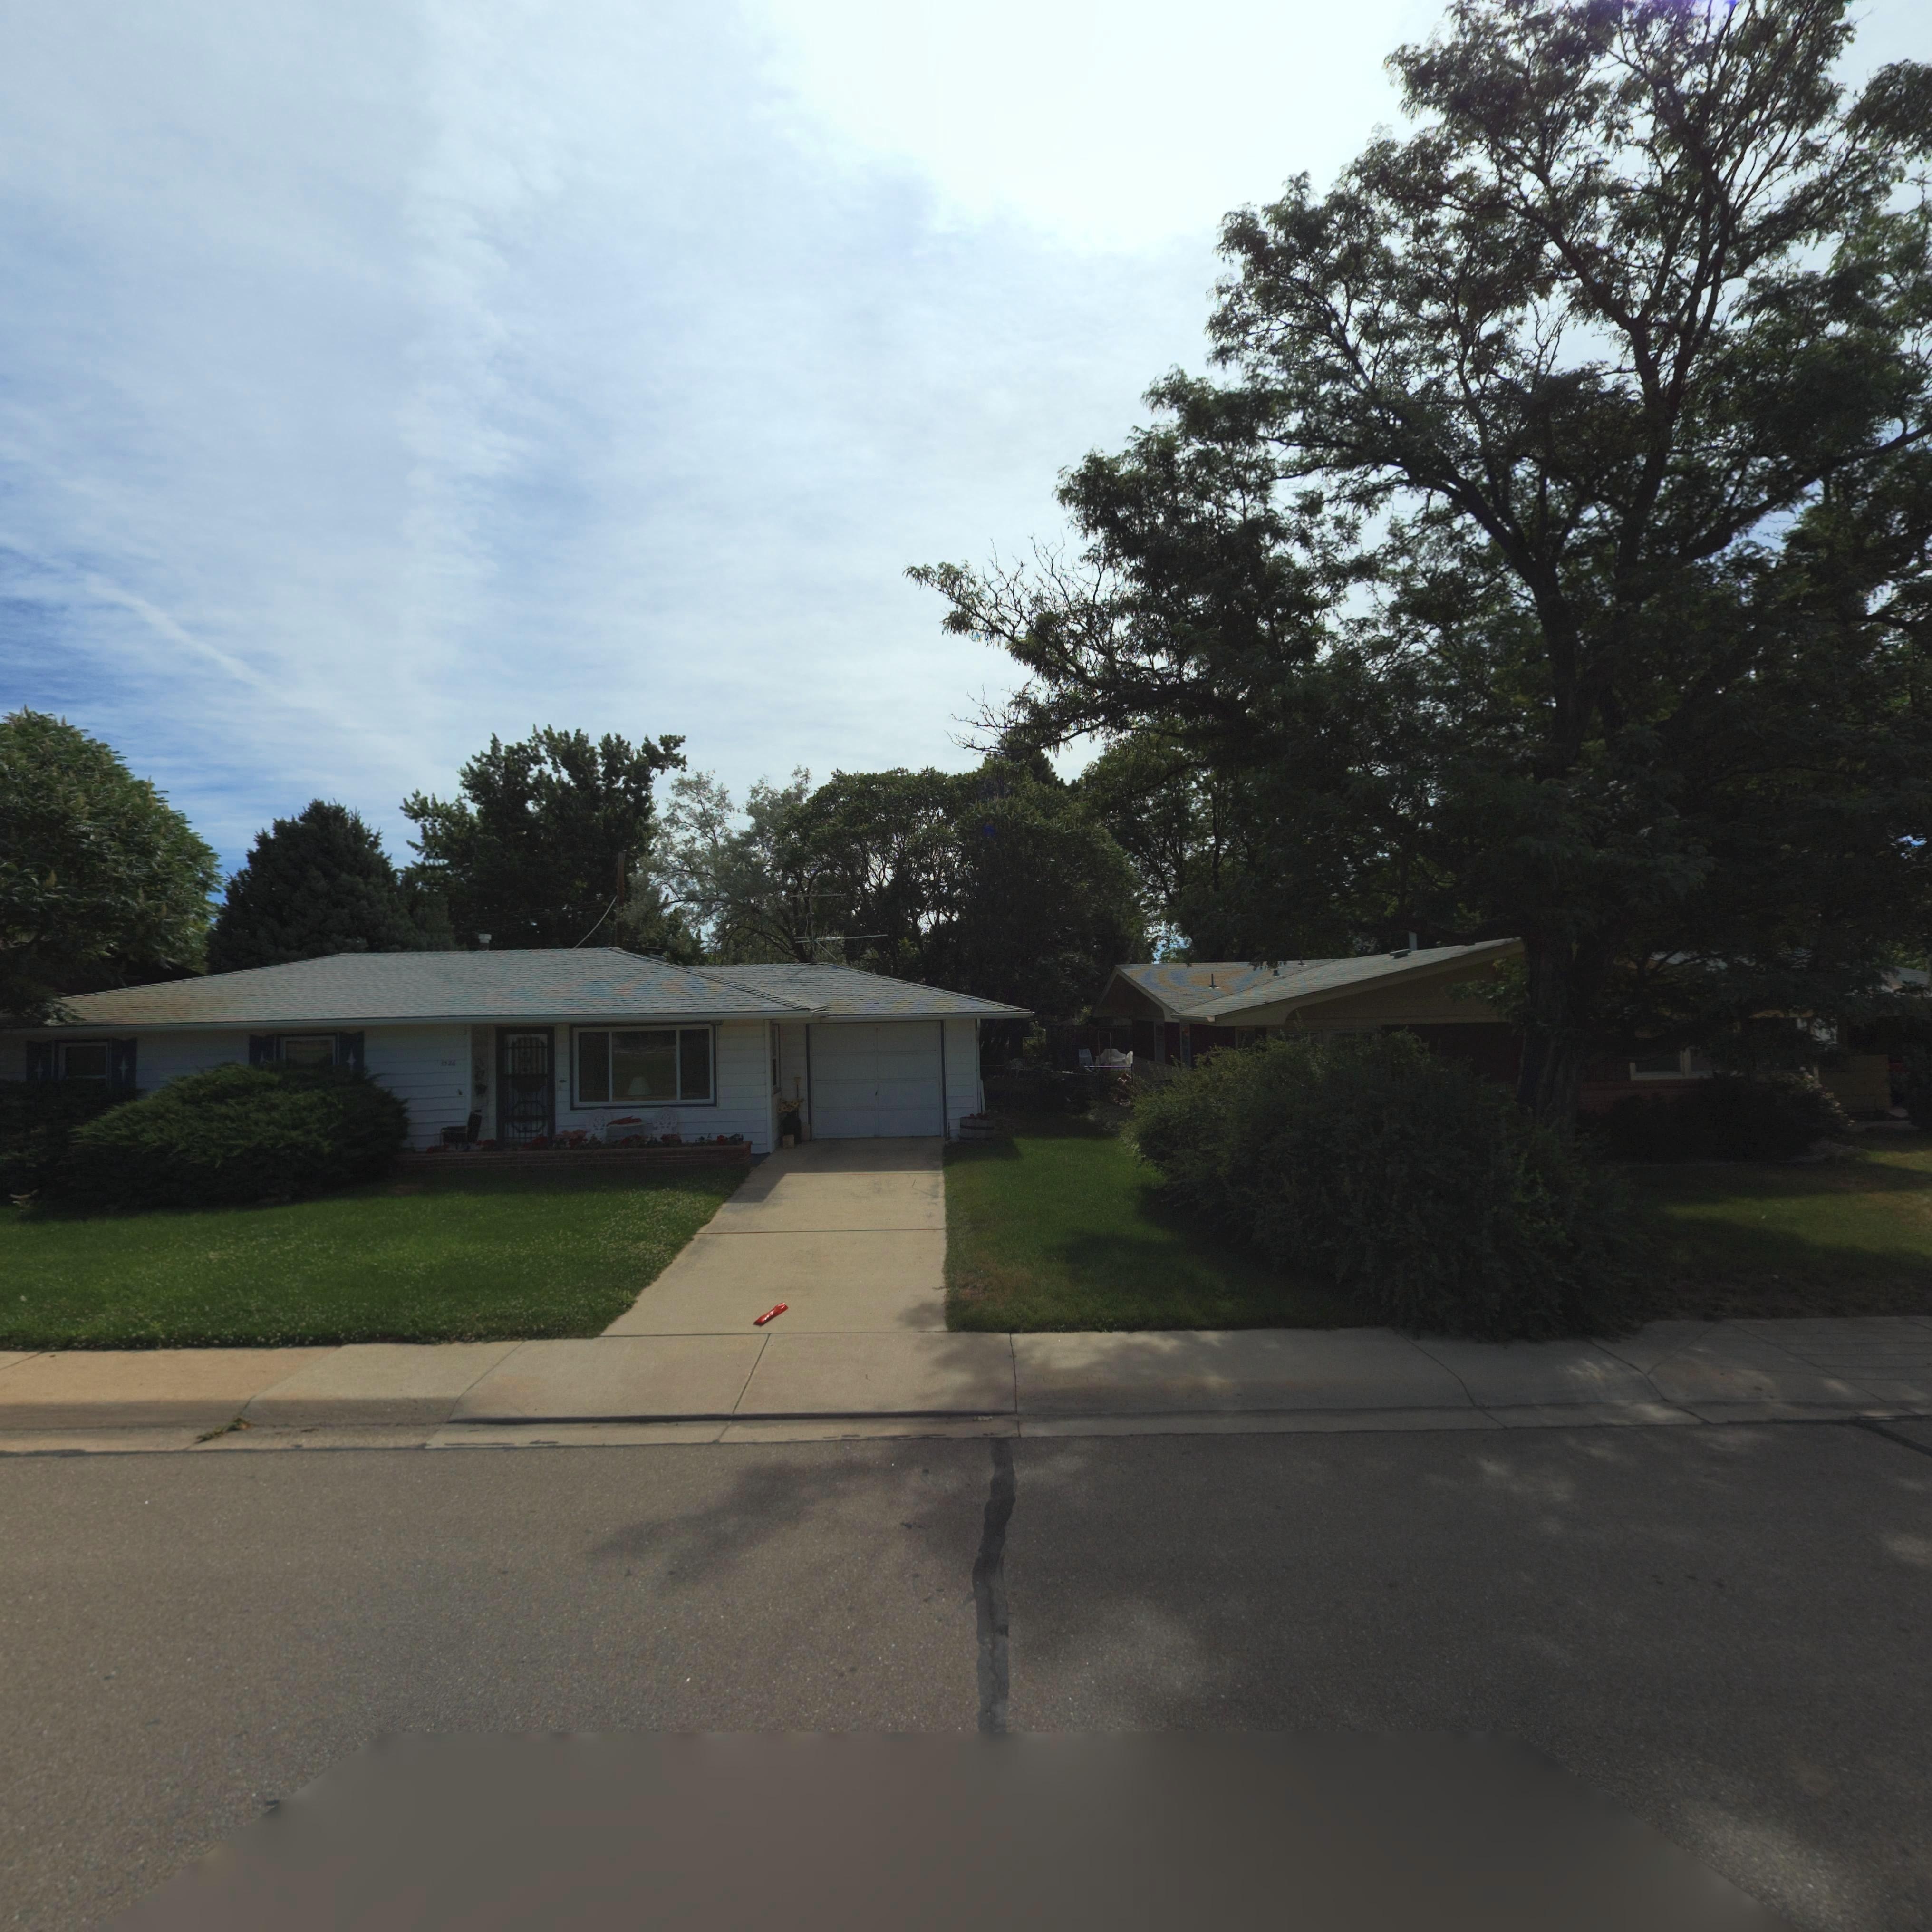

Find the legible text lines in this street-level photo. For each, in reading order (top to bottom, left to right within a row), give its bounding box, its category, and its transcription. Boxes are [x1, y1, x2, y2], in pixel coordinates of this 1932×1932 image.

[440, 1060, 456, 1066] StreetNumber: 1*26